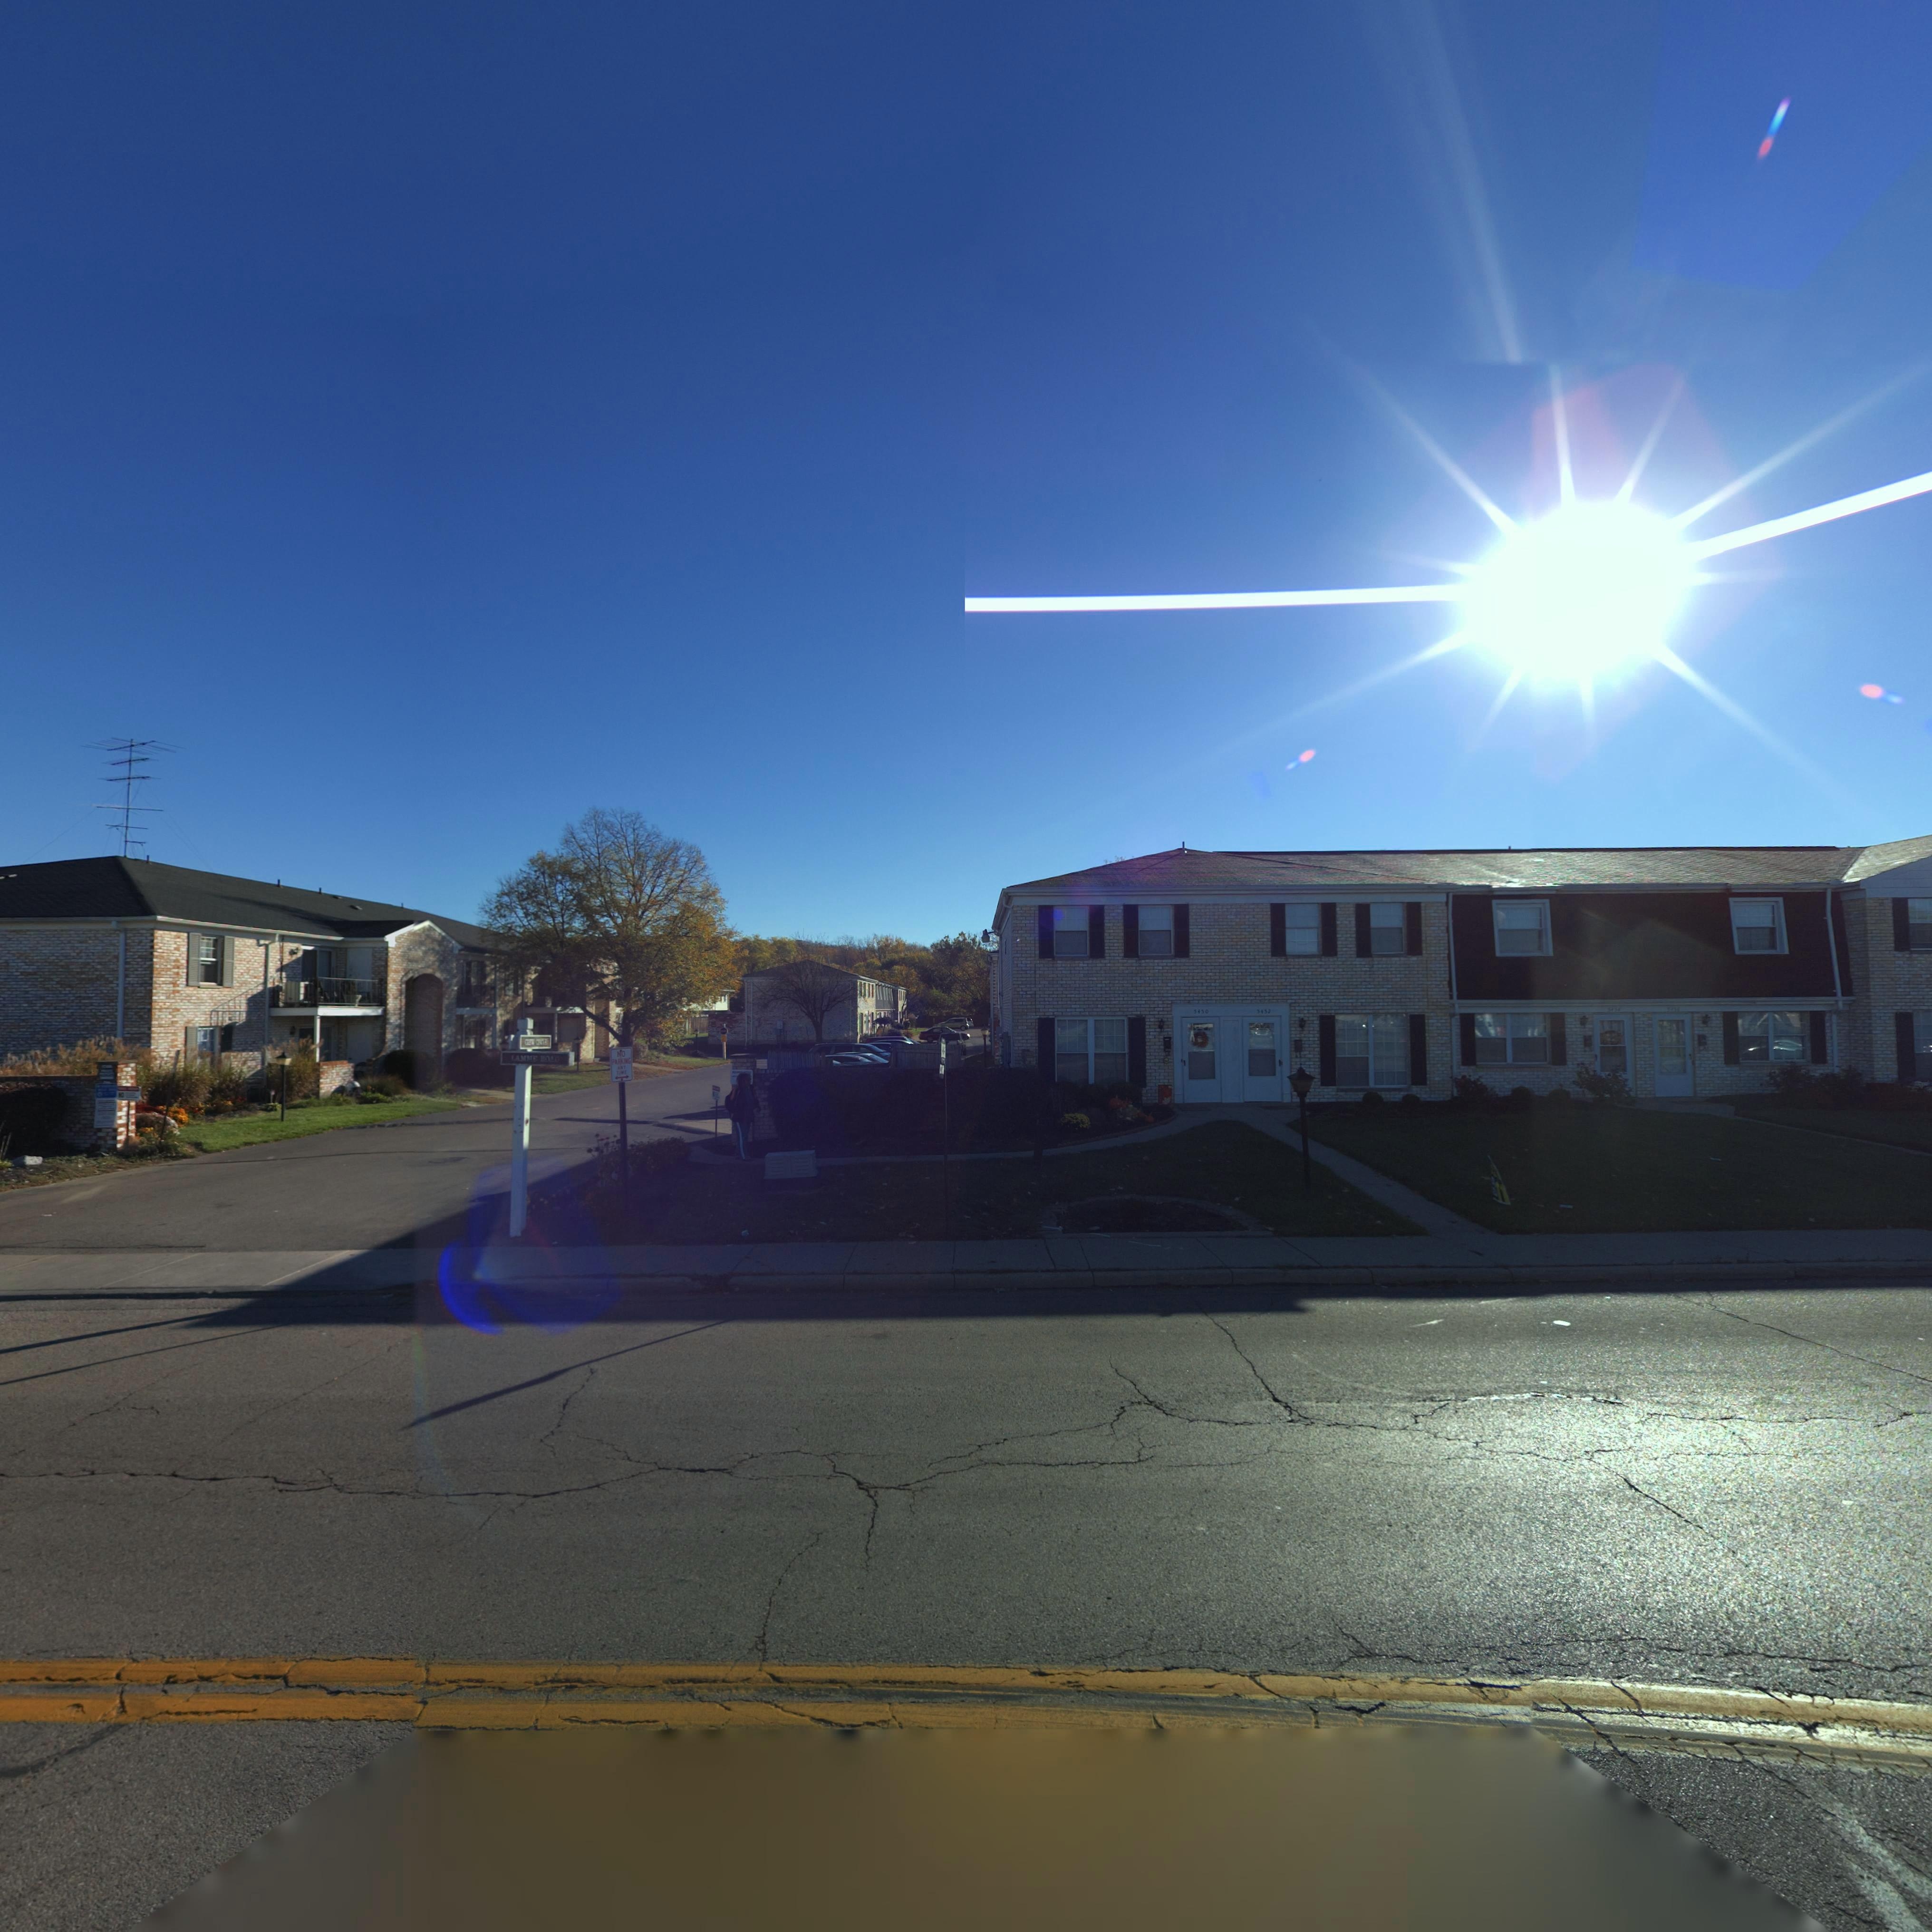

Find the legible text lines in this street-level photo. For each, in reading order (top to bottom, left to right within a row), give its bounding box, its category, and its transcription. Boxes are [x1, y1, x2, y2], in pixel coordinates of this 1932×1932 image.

[1193, 1008, 1210, 1015] StreetNumber: 5450